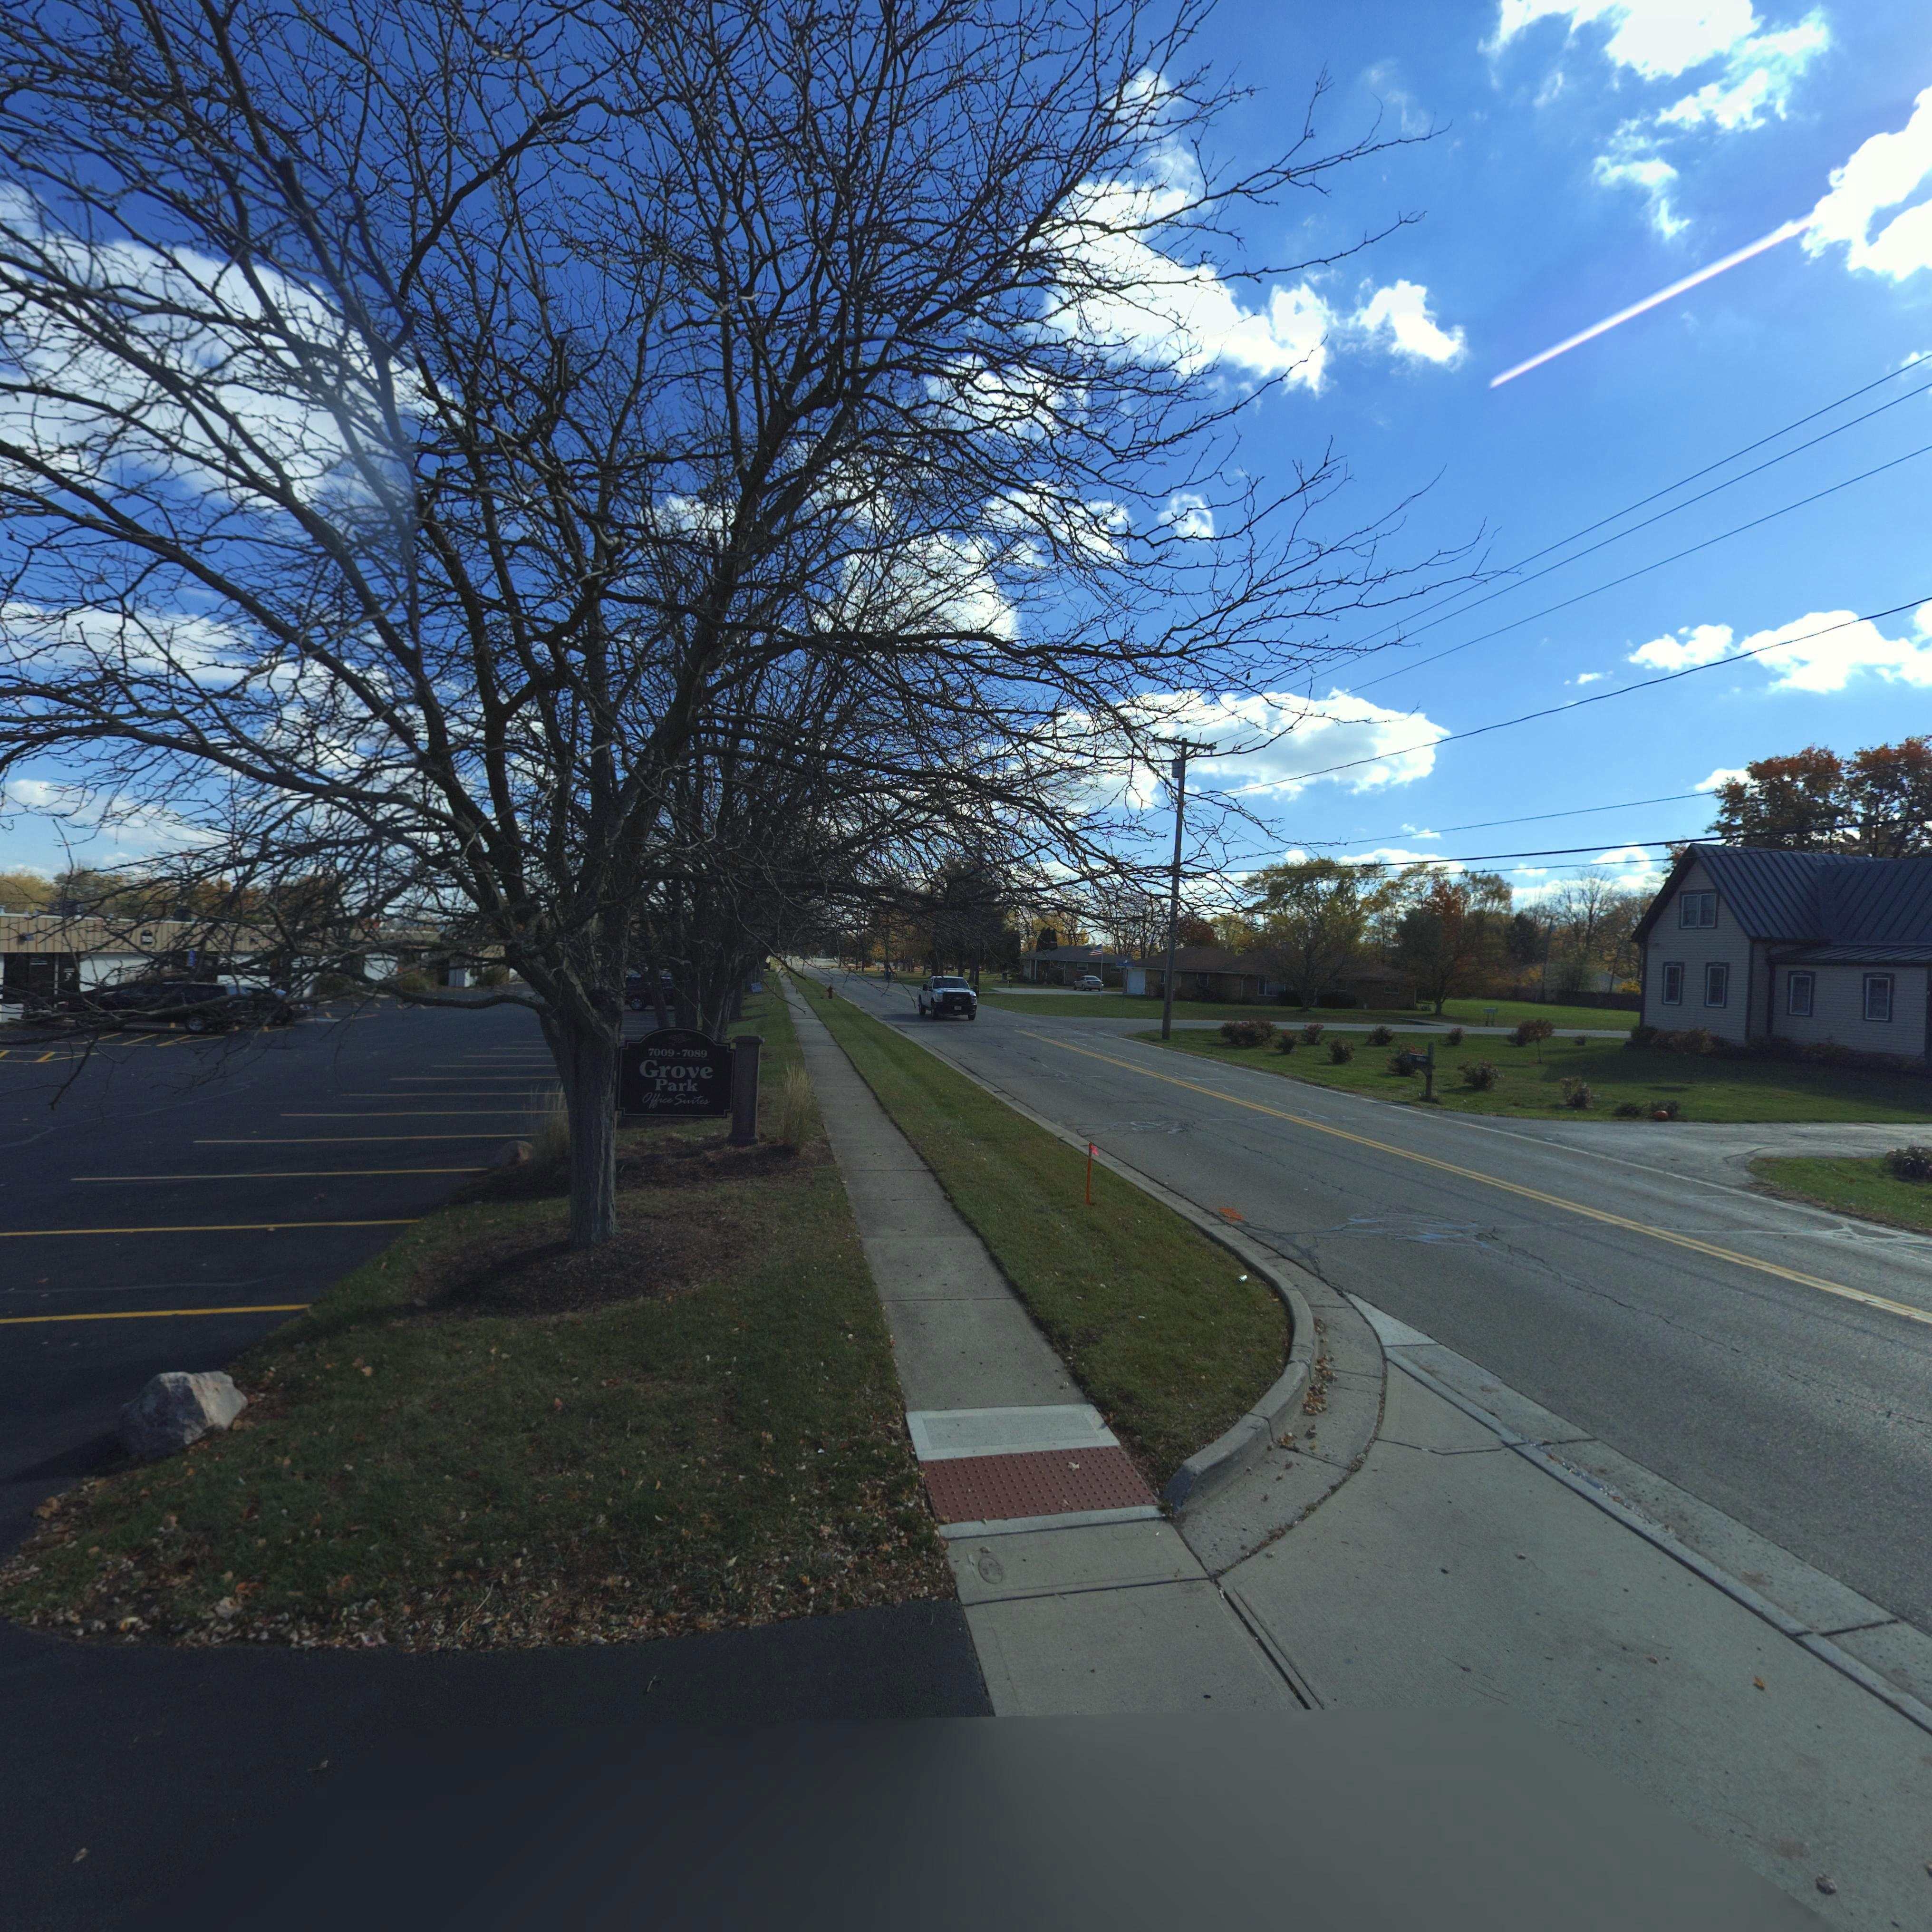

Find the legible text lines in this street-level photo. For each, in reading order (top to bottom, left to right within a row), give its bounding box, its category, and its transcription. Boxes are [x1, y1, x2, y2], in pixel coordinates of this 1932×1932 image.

[647, 1047, 676, 1058] StreetNumber: 7009
[680, 1048, 709, 1059] StreetNumber: 7089